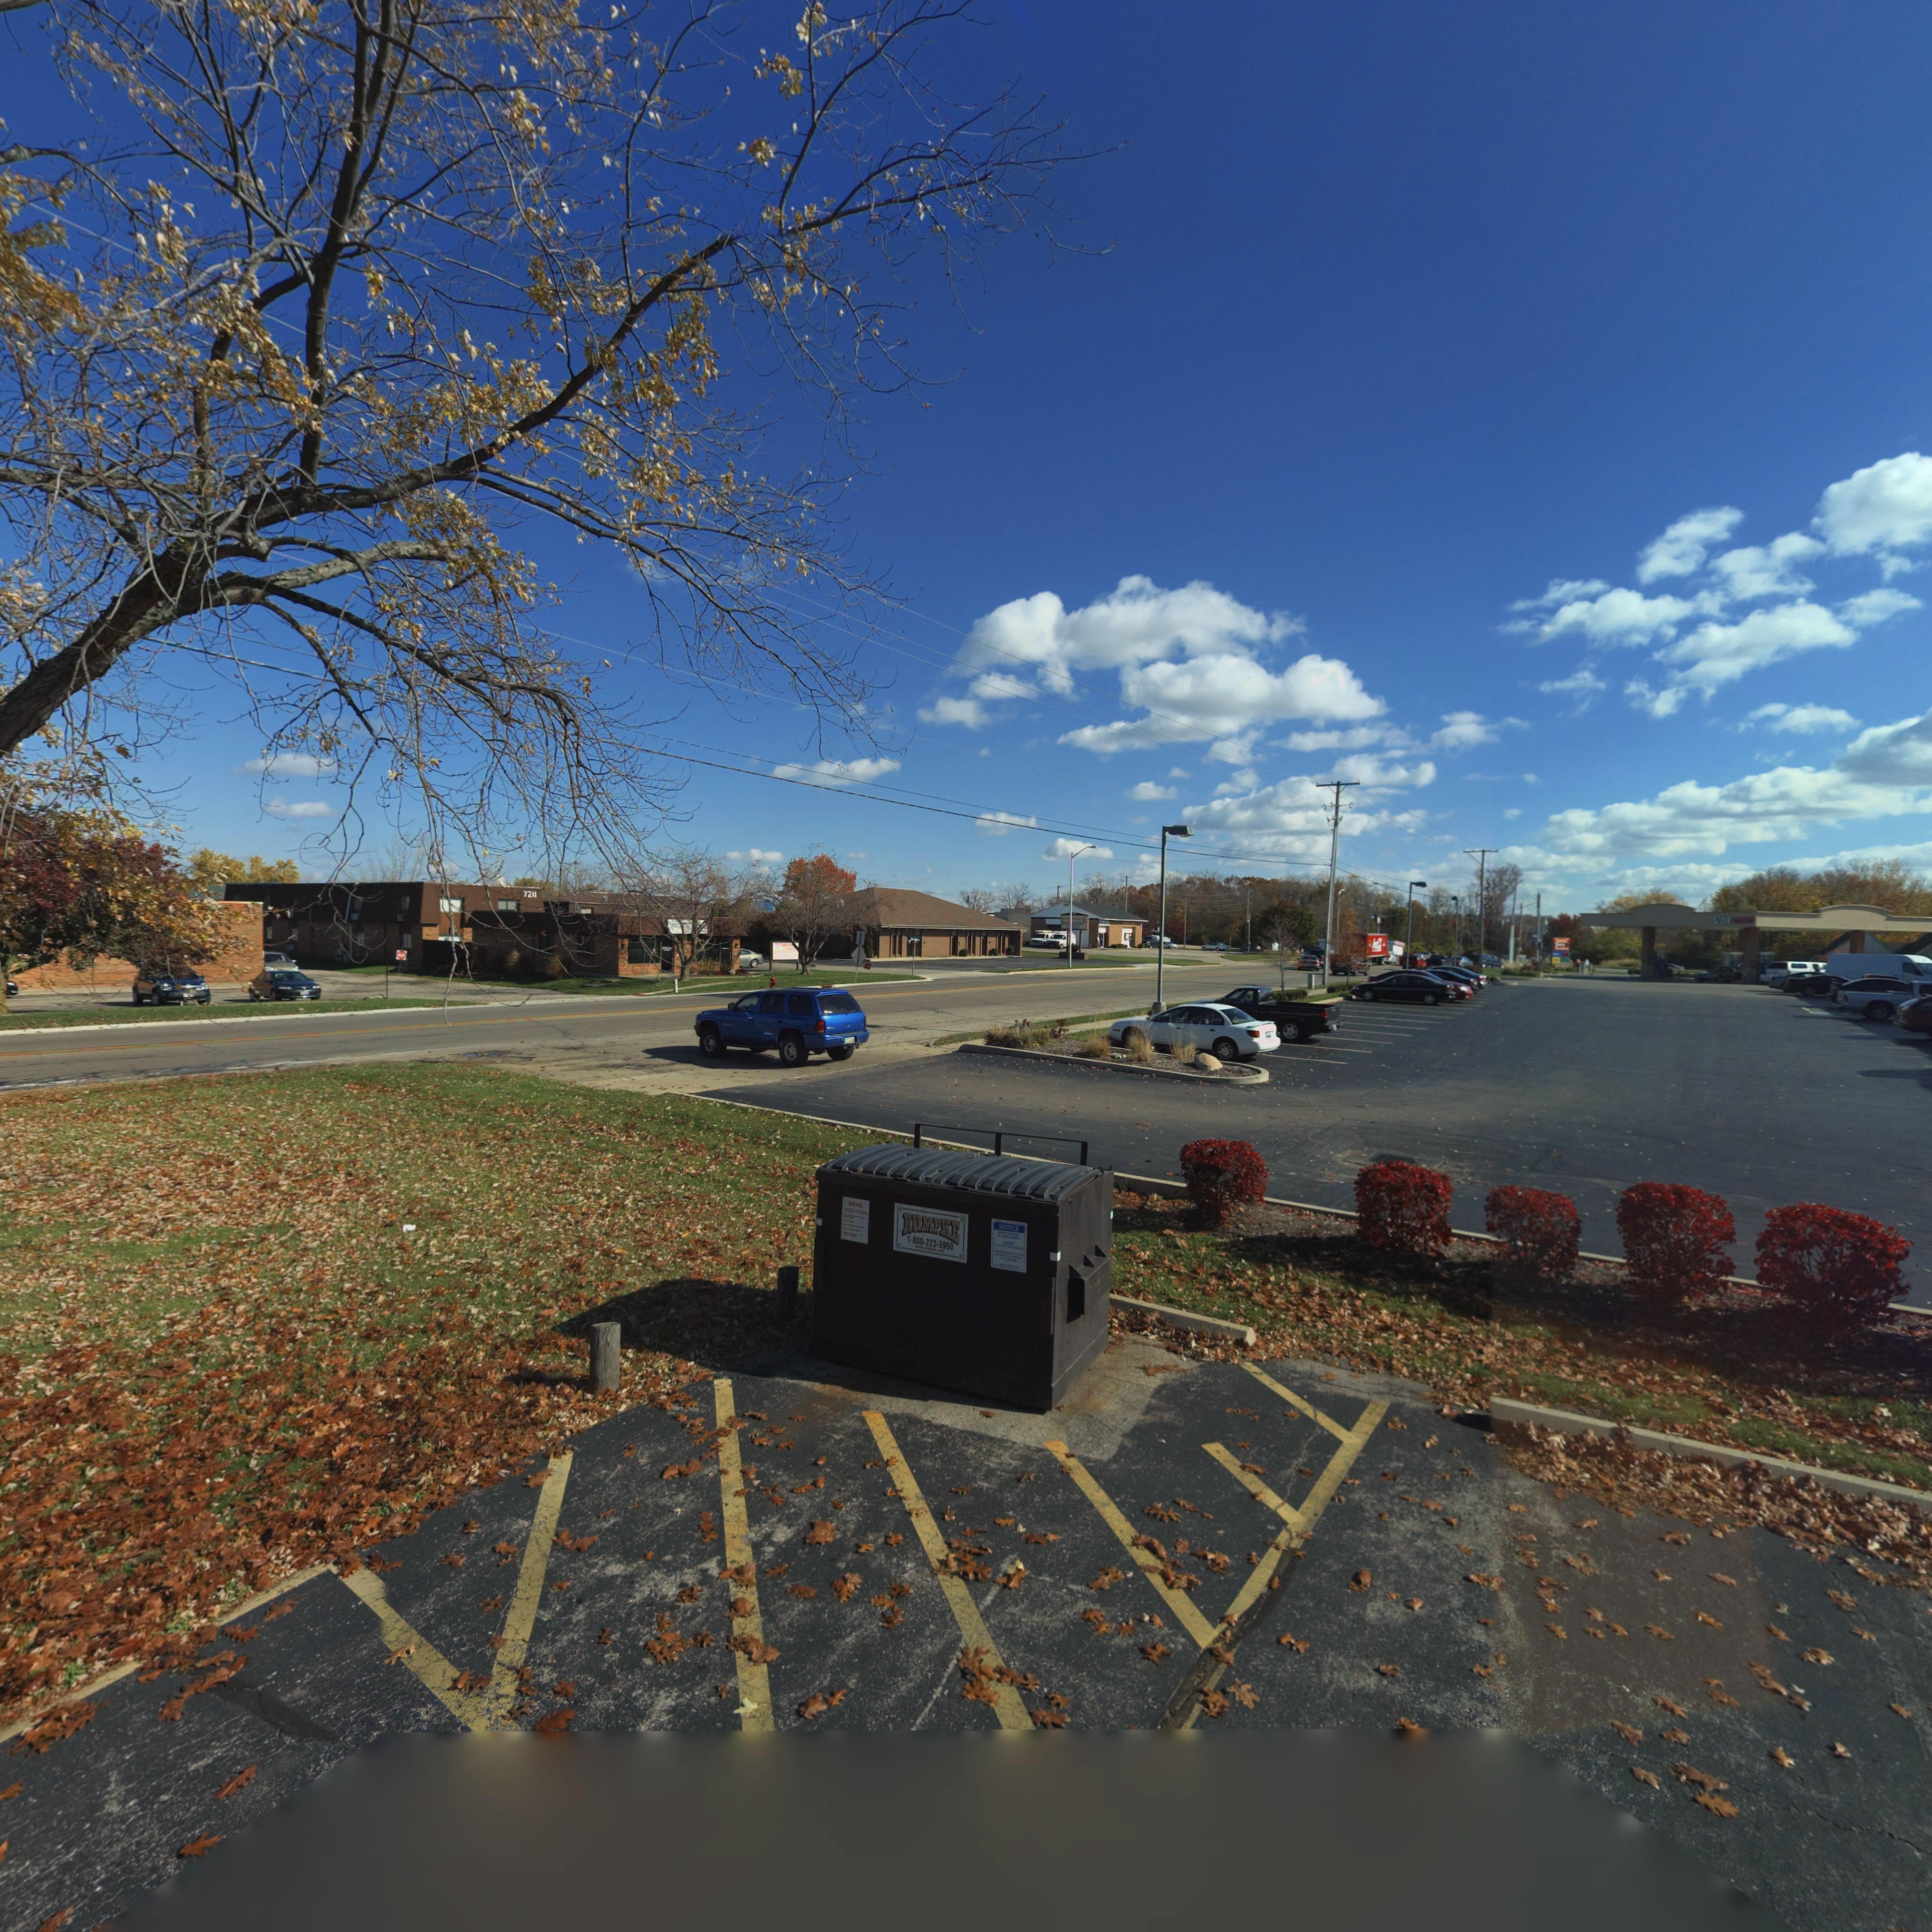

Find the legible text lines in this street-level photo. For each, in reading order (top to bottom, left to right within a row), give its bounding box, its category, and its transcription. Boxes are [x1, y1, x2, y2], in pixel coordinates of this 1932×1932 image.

[522, 890, 538, 899] StreetNumber: 7211